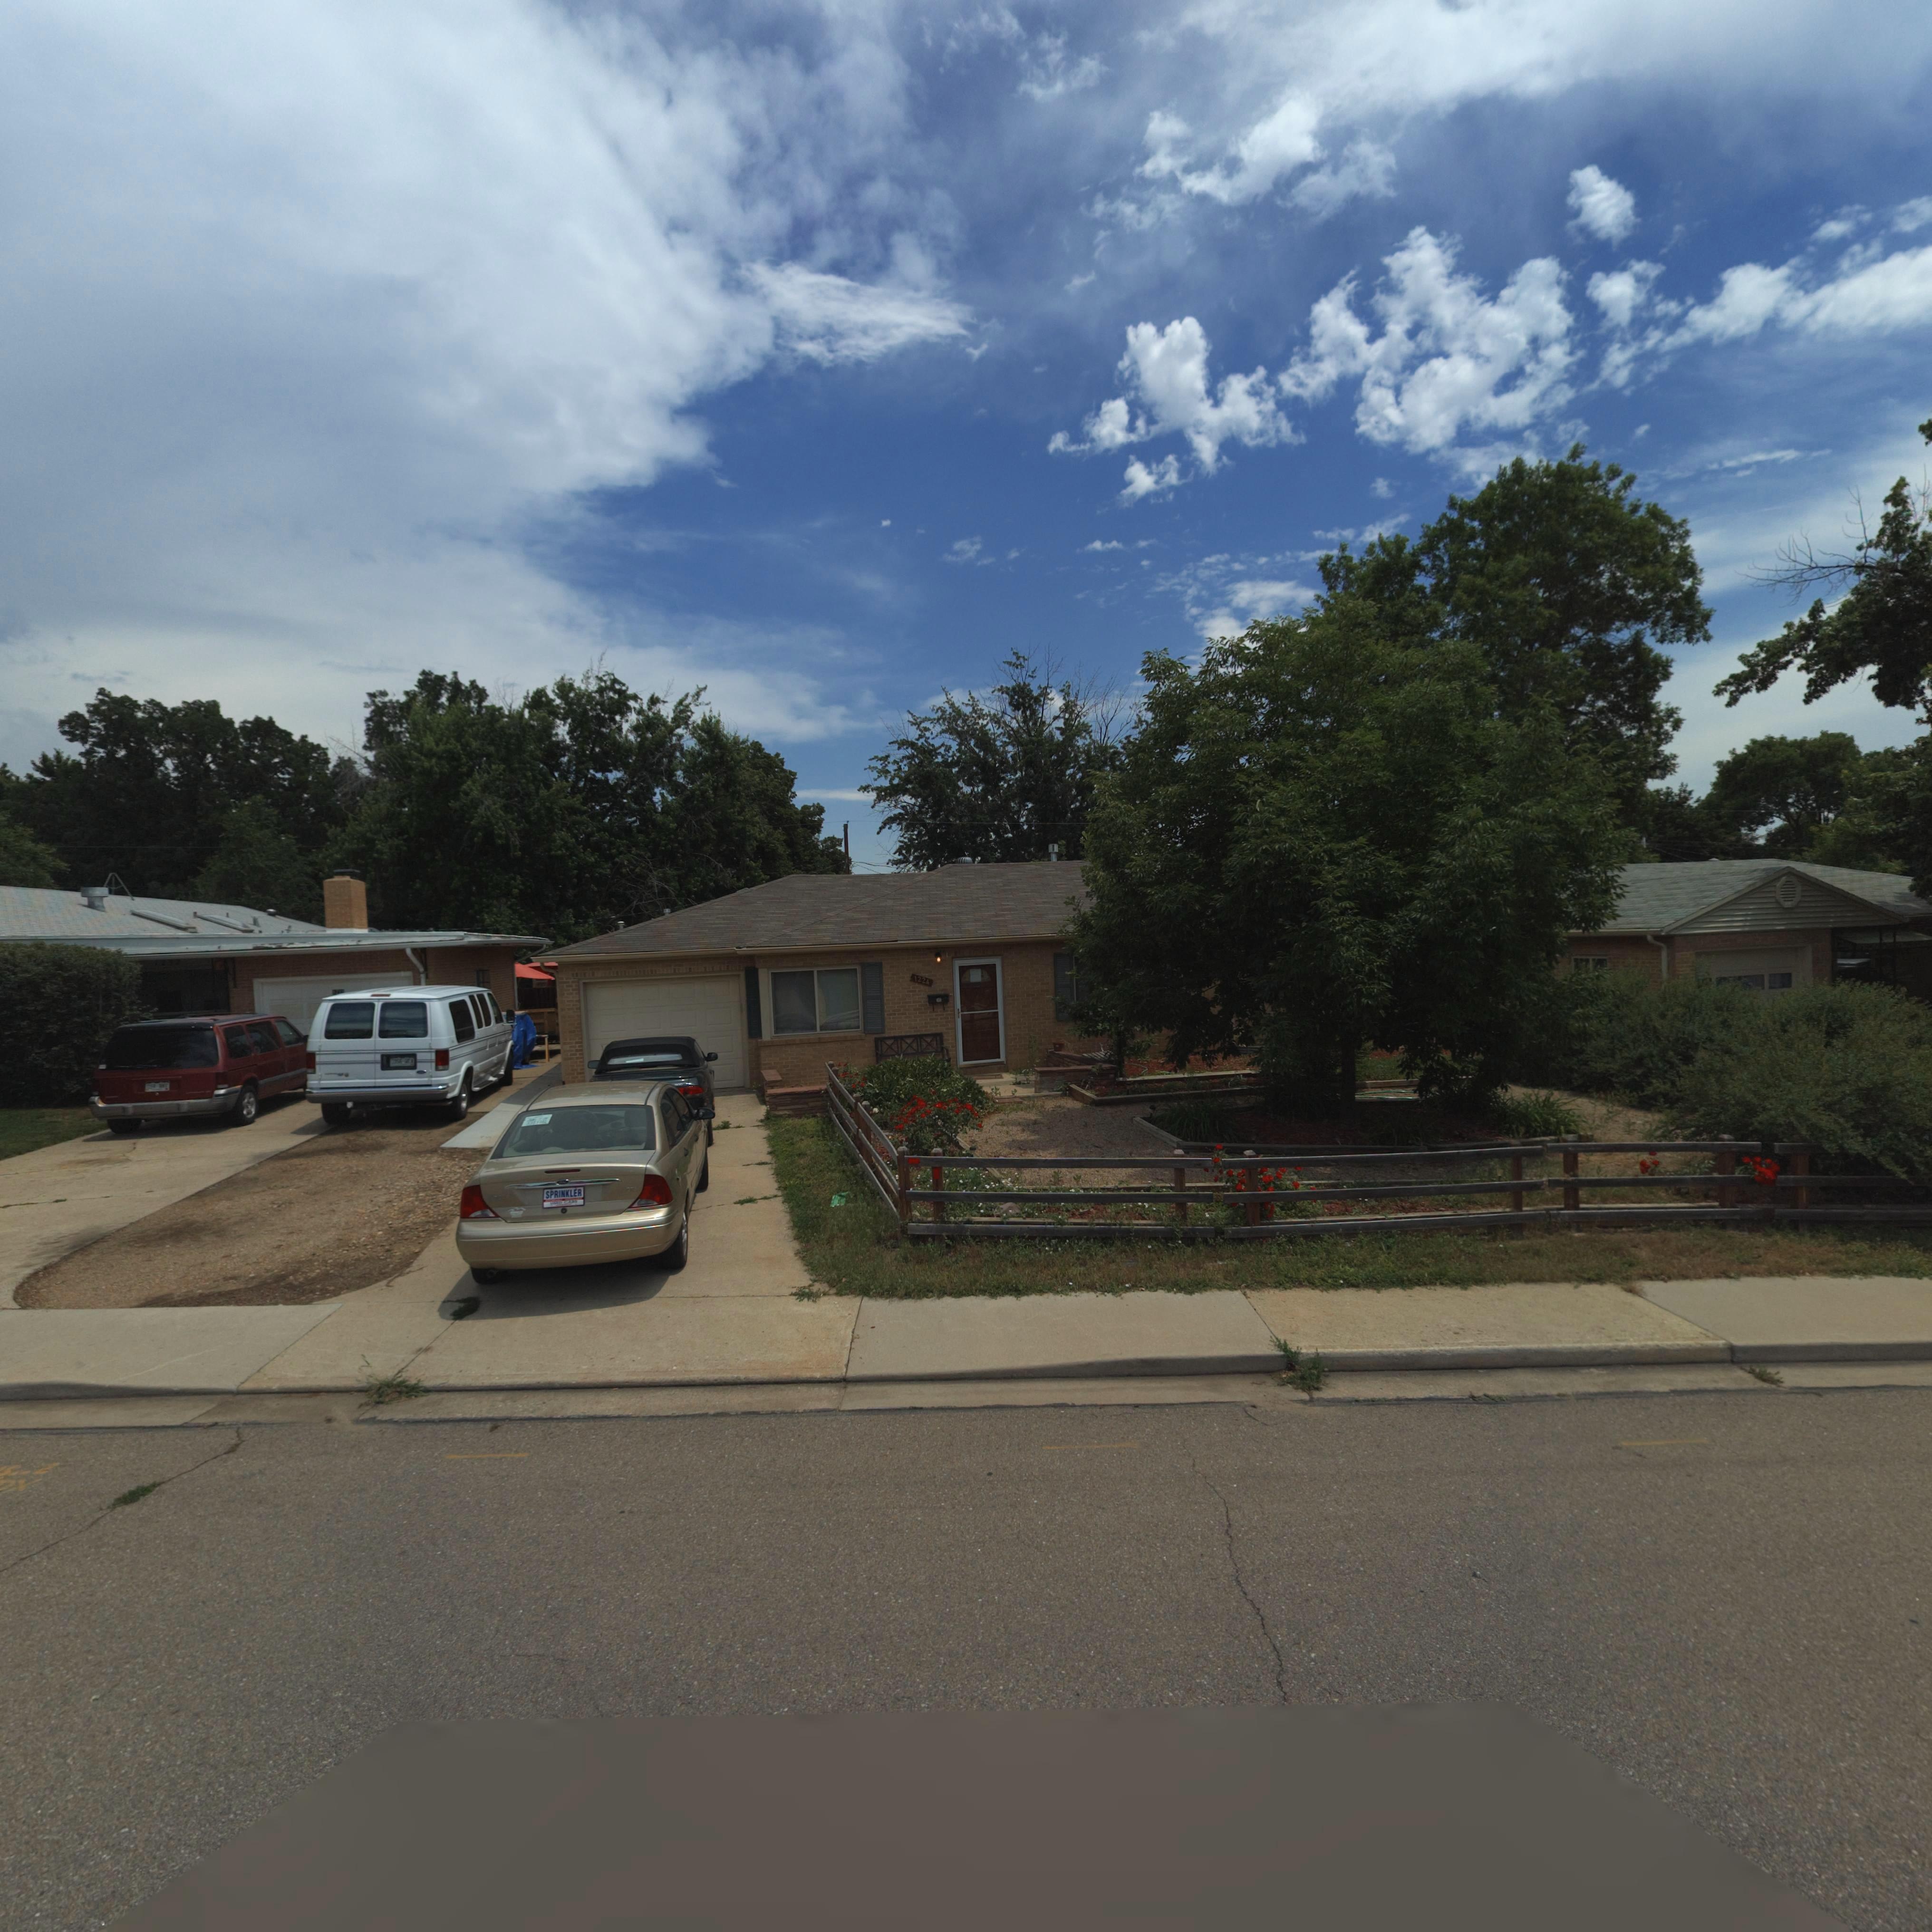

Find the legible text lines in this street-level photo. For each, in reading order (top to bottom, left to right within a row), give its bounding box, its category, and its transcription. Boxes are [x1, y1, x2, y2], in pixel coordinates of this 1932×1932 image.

[914, 975, 930, 986] StreetNumber: 1224